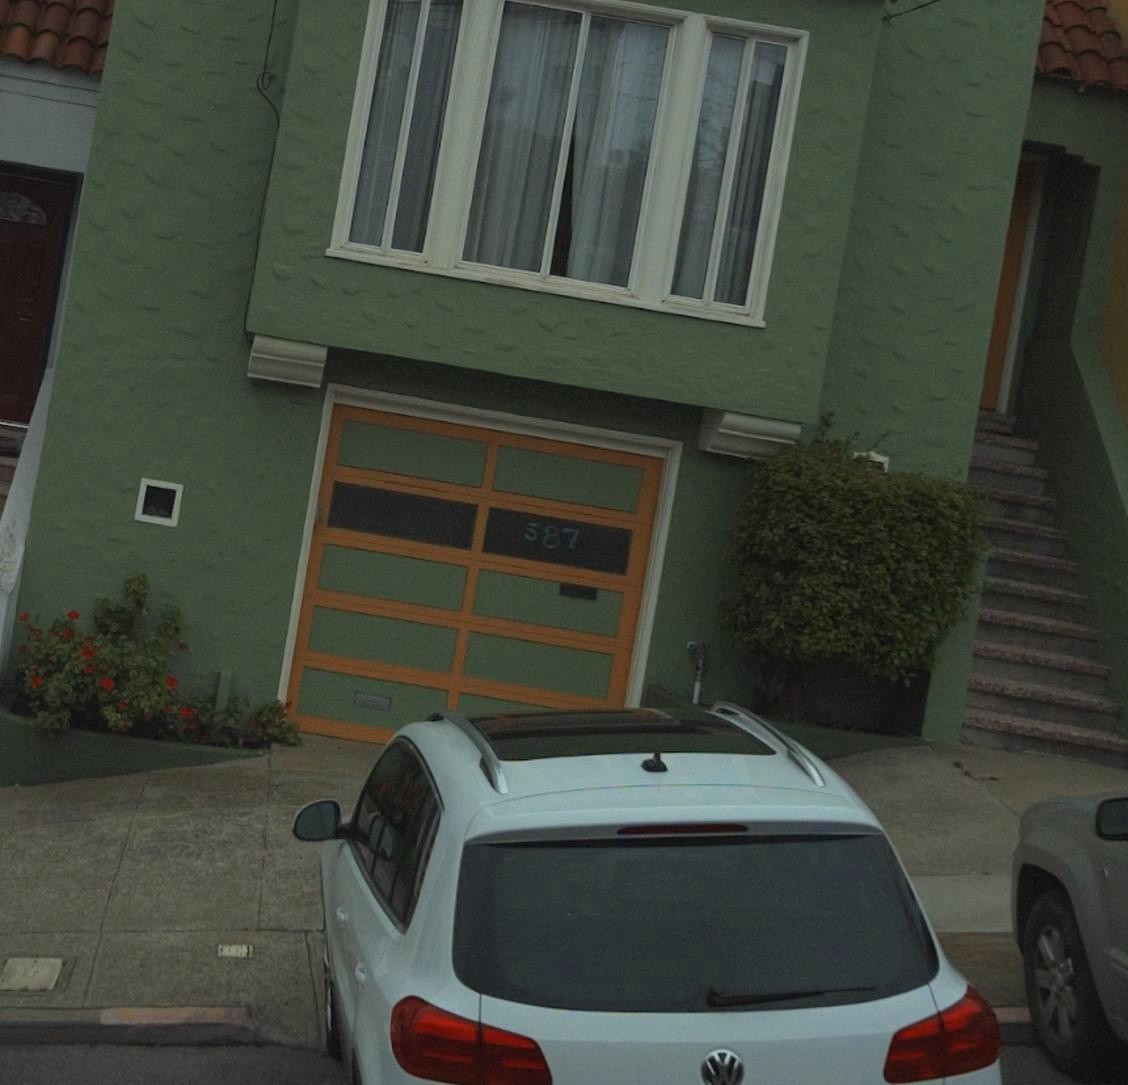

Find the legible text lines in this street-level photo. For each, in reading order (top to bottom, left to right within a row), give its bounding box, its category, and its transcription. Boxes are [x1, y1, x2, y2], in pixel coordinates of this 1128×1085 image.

[522, 519, 583, 551] StreetNumber: 587